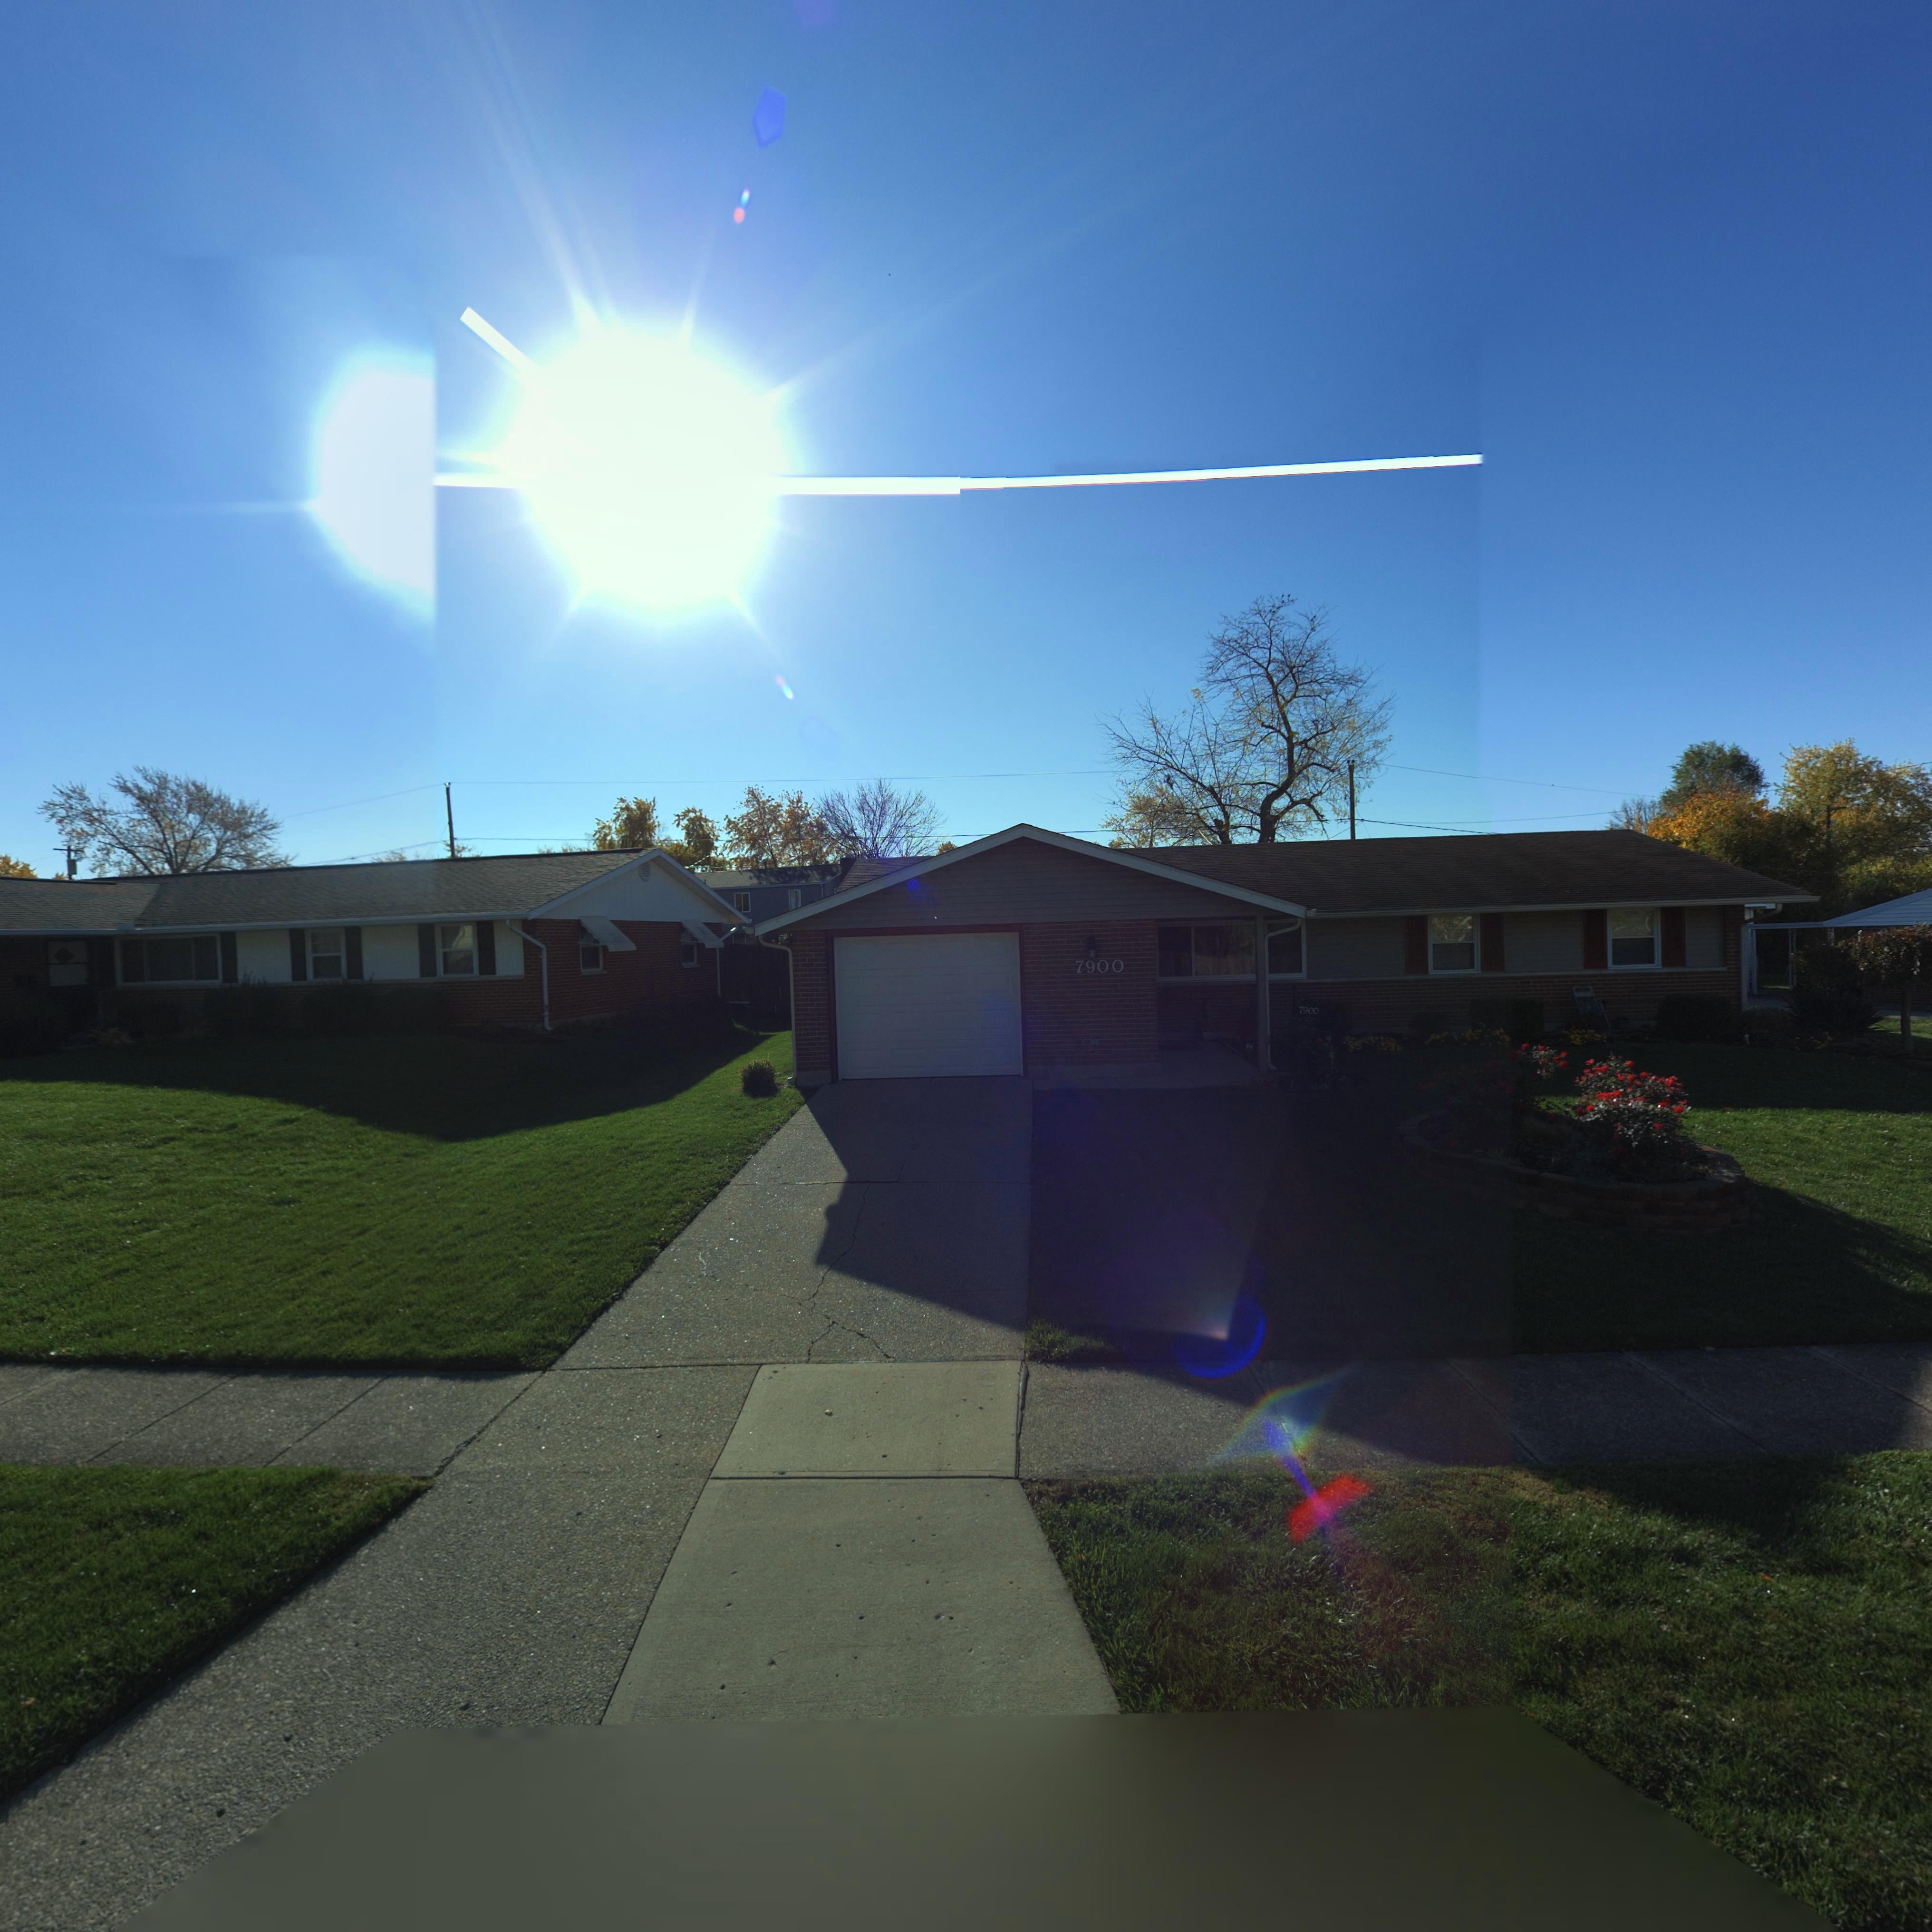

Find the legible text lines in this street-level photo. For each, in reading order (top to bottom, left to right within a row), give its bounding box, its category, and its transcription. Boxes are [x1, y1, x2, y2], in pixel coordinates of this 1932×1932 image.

[1075, 959, 1125, 974] StreetNumber: 7900
[1298, 1005, 1320, 1015] StreetNumber: 7900